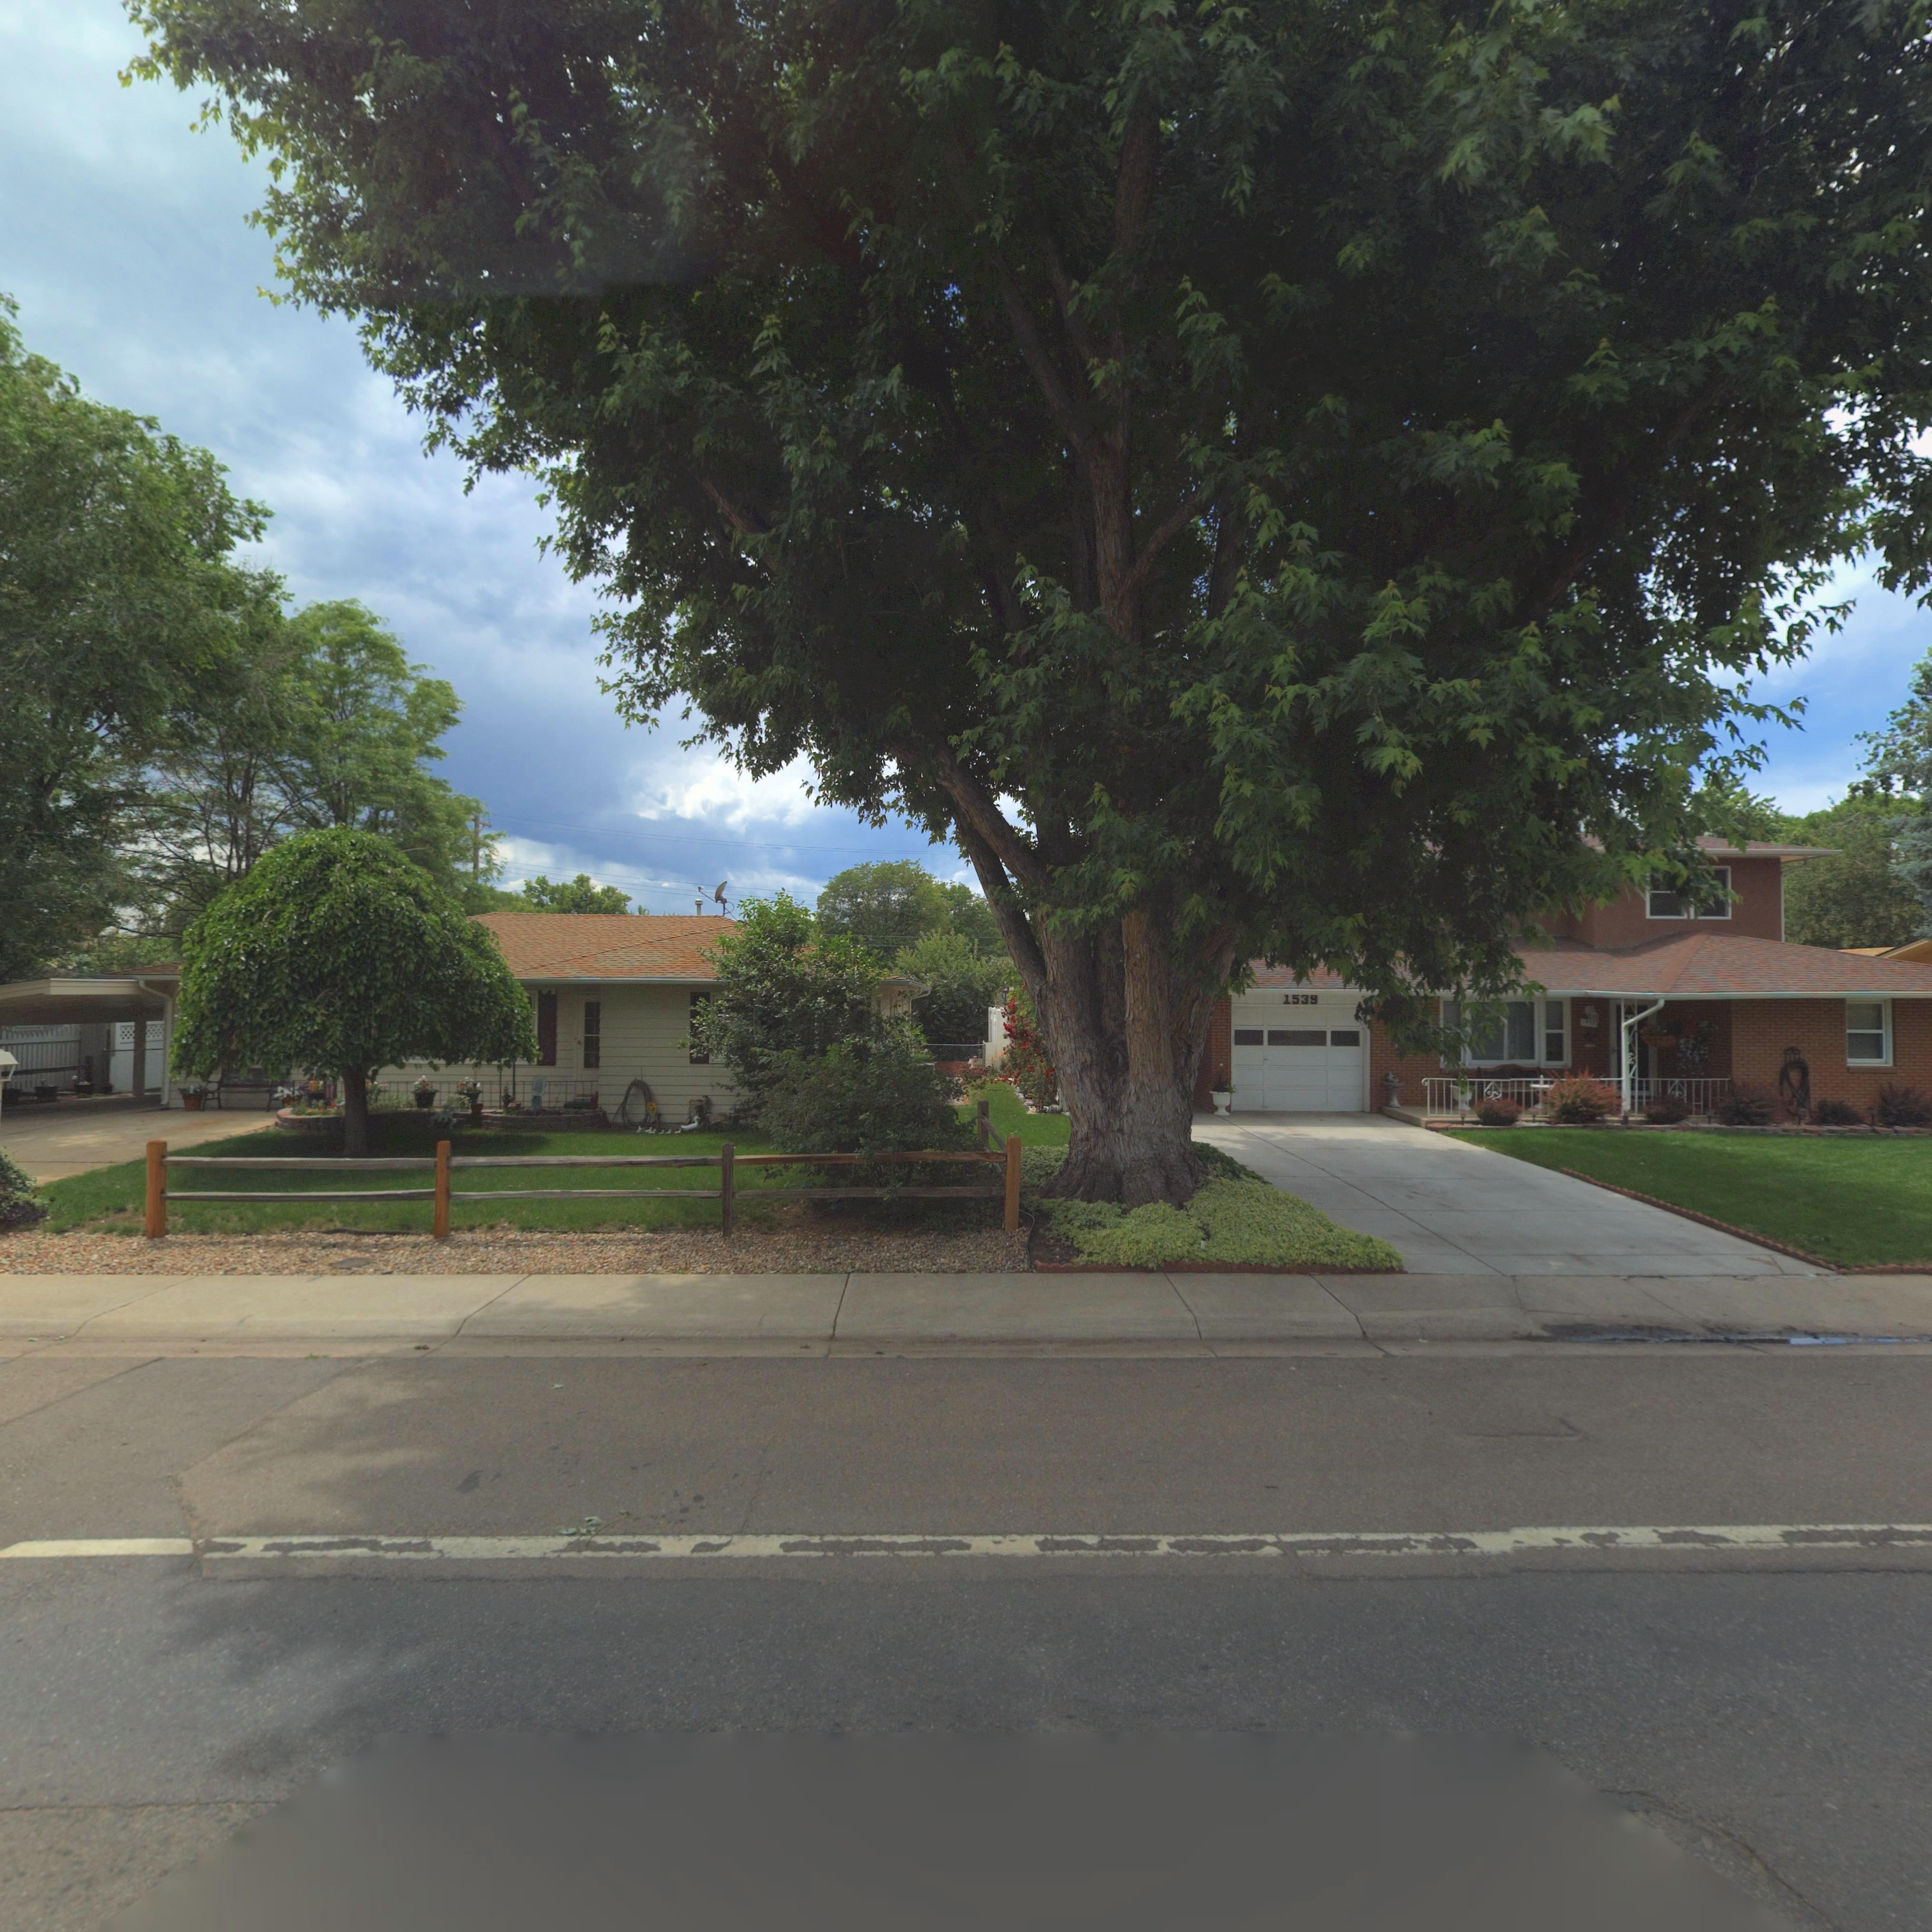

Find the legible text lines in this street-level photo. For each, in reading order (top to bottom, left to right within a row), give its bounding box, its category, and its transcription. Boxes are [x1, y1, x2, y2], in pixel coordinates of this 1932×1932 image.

[1283, 994, 1318, 1005] StreetNumber: 1539
[1582, 1019, 1596, 1026] StreetNumber: 1**9